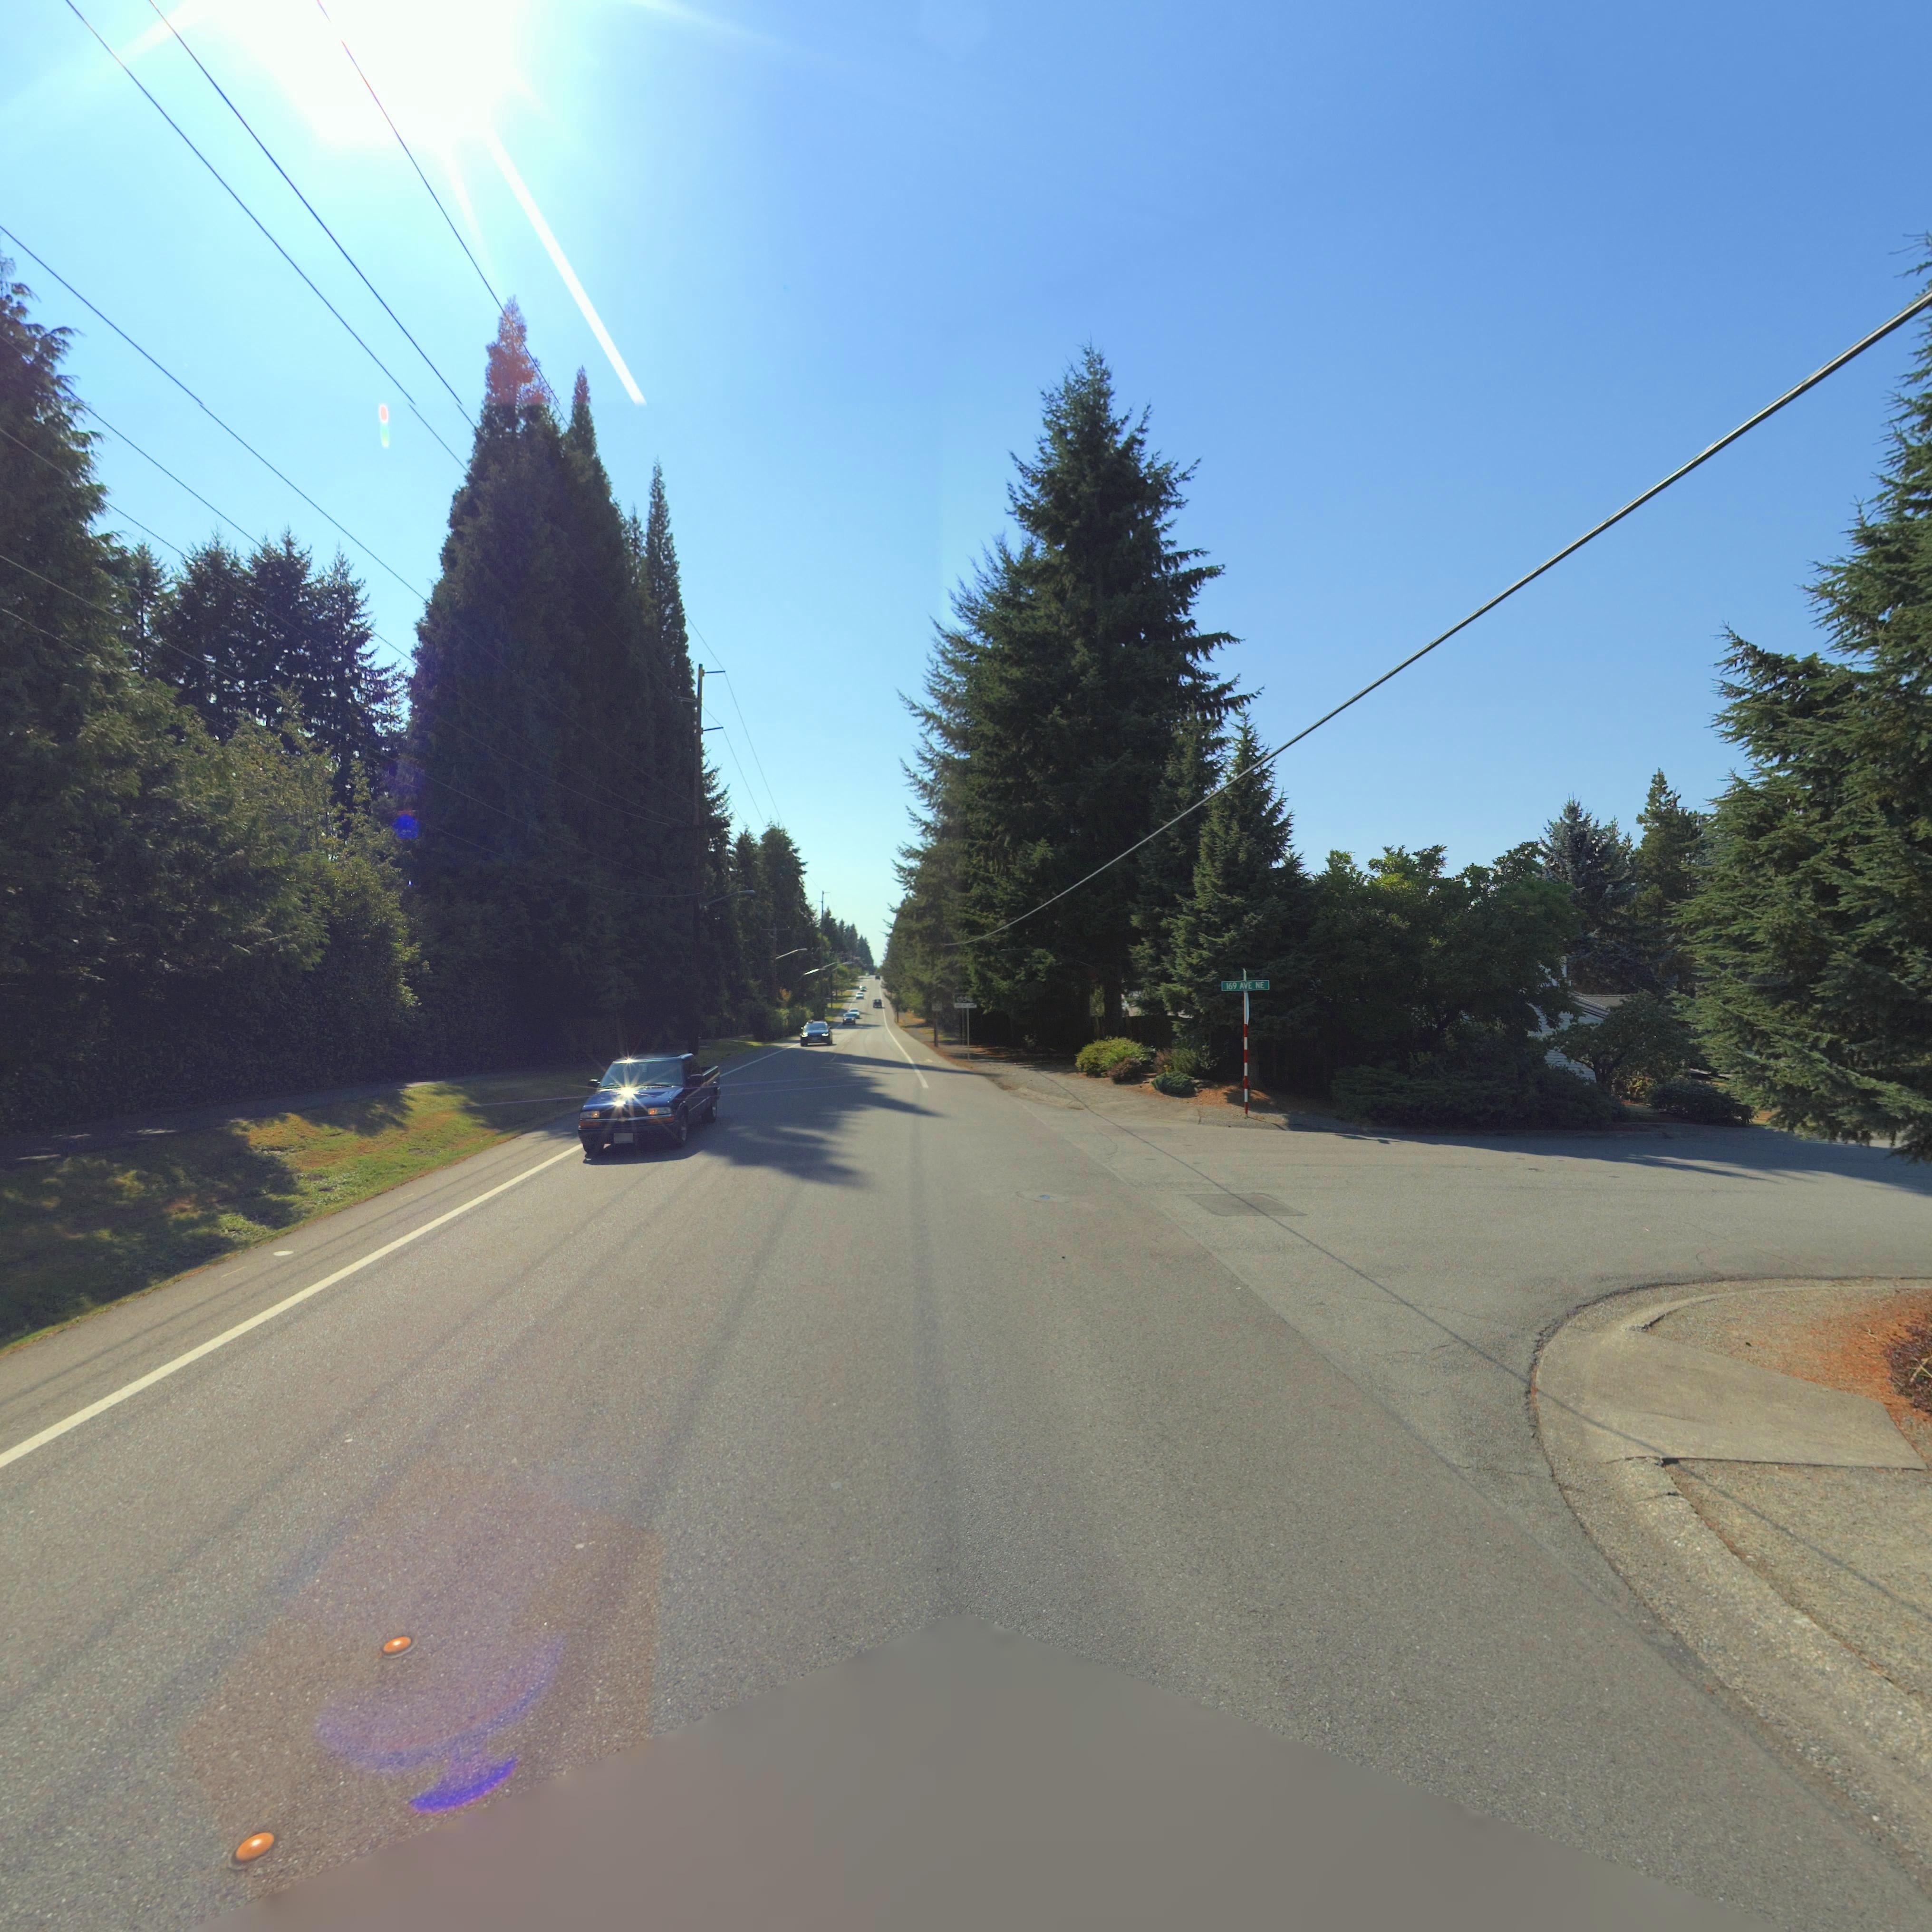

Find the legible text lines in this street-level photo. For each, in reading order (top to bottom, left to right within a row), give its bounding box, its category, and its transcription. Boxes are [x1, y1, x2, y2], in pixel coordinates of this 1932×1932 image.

[1226, 981, 1265, 990] StreetName: 169 AVE NE